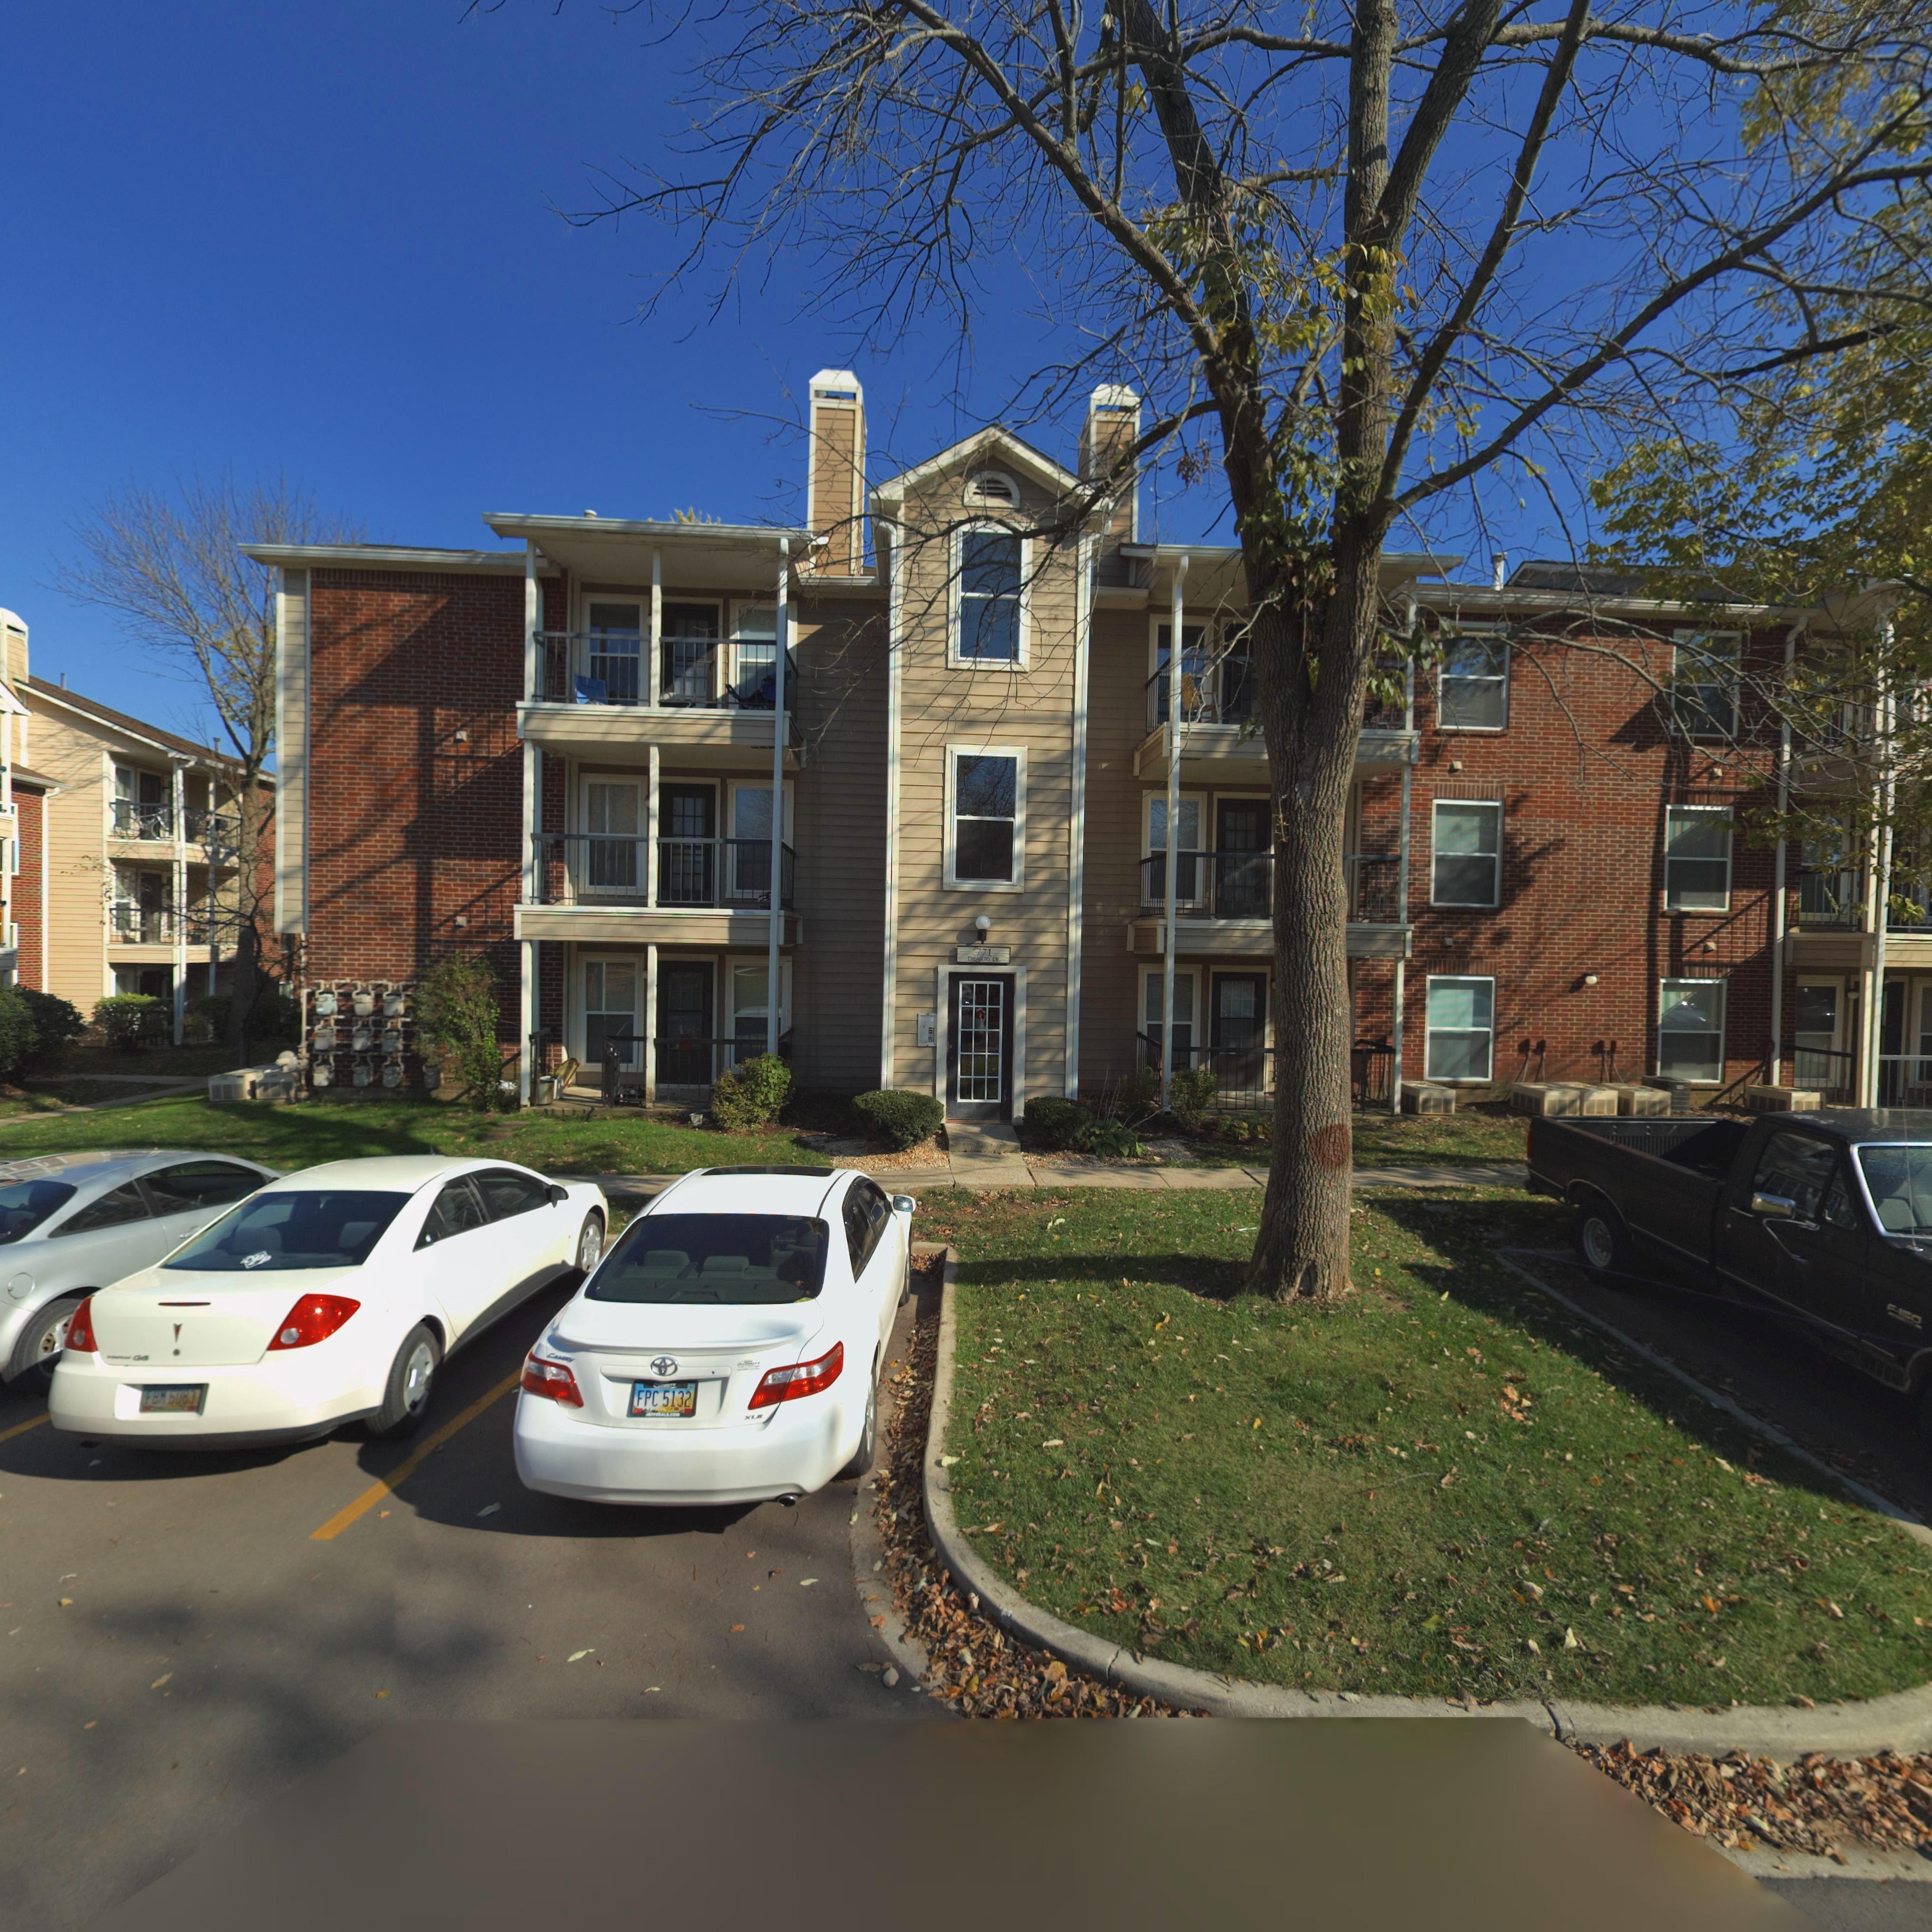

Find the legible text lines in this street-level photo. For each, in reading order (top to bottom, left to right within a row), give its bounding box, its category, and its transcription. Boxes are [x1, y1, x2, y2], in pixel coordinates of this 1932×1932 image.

[976, 947, 993, 957] StreetNumber: 771
[965, 955, 1001, 963] StreetName: TREASURY **
[143, 1388, 198, 1407] None: FBM 6083
[635, 1388, 693, 1409] None: FPC 5132
[743, 1413, 764, 1421] None: XL*